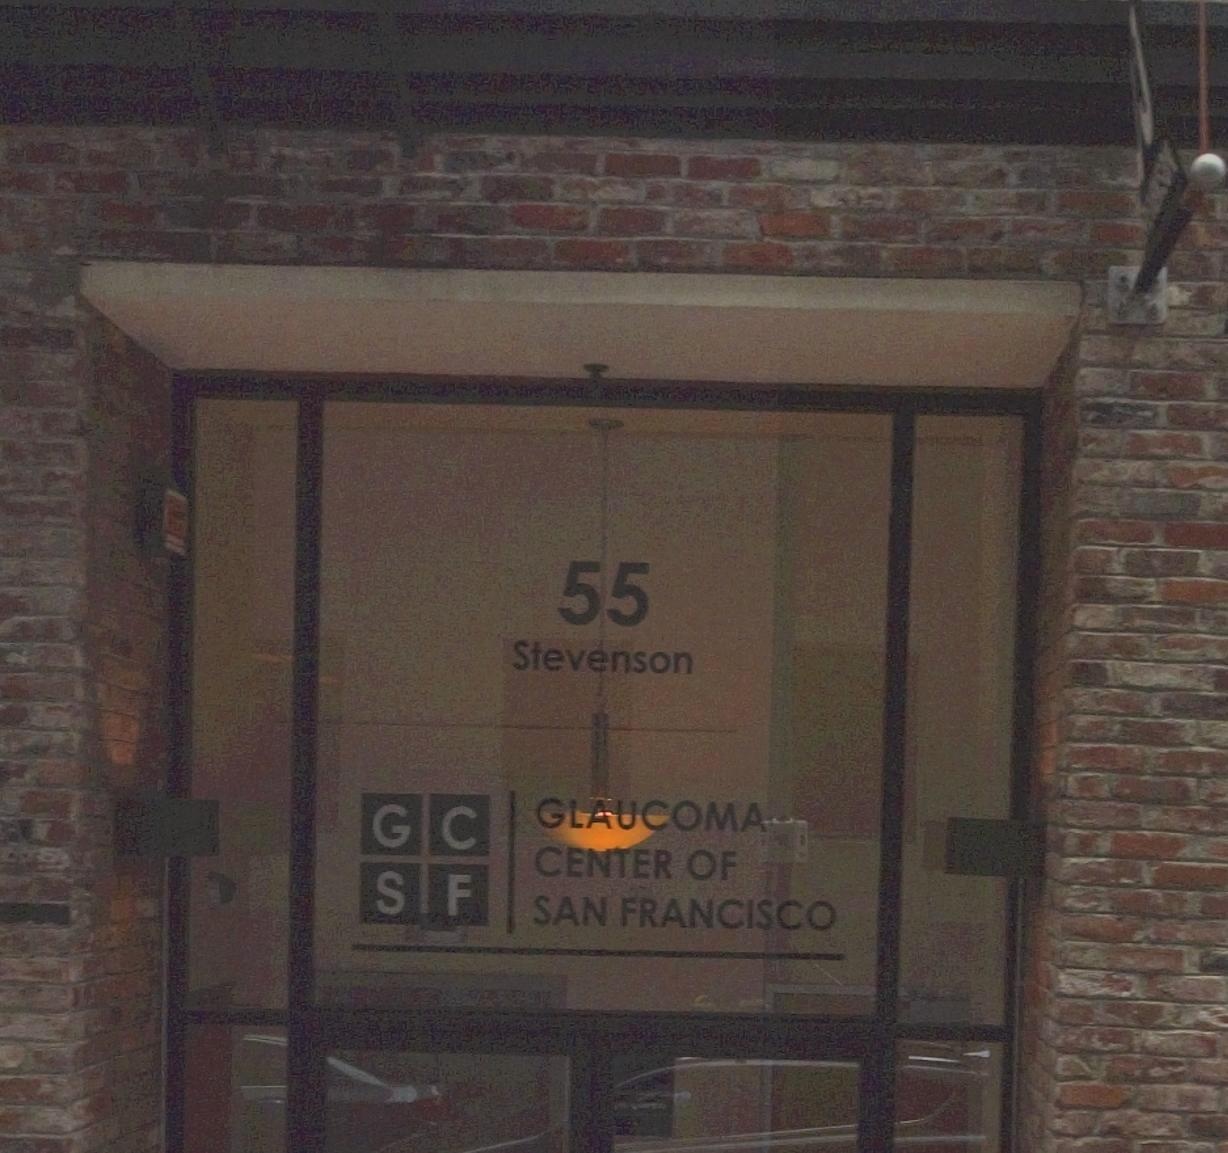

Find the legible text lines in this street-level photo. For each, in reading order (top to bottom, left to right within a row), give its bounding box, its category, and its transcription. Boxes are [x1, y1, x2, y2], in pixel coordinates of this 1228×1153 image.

[554, 557, 655, 629] StreetNumber: 55
[508, 637, 696, 678] StreetName: Stevenson
[370, 800, 416, 851] None: G
[438, 801, 481, 853] None: C
[533, 793, 772, 835] BusinessName: GLAUCOMA
[531, 842, 742, 884] BusinessName: CENTER OF
[371, 868, 410, 919] None: S
[444, 872, 475, 920] None: F
[529, 891, 840, 936] BusinessName: SAN FRANCISCO